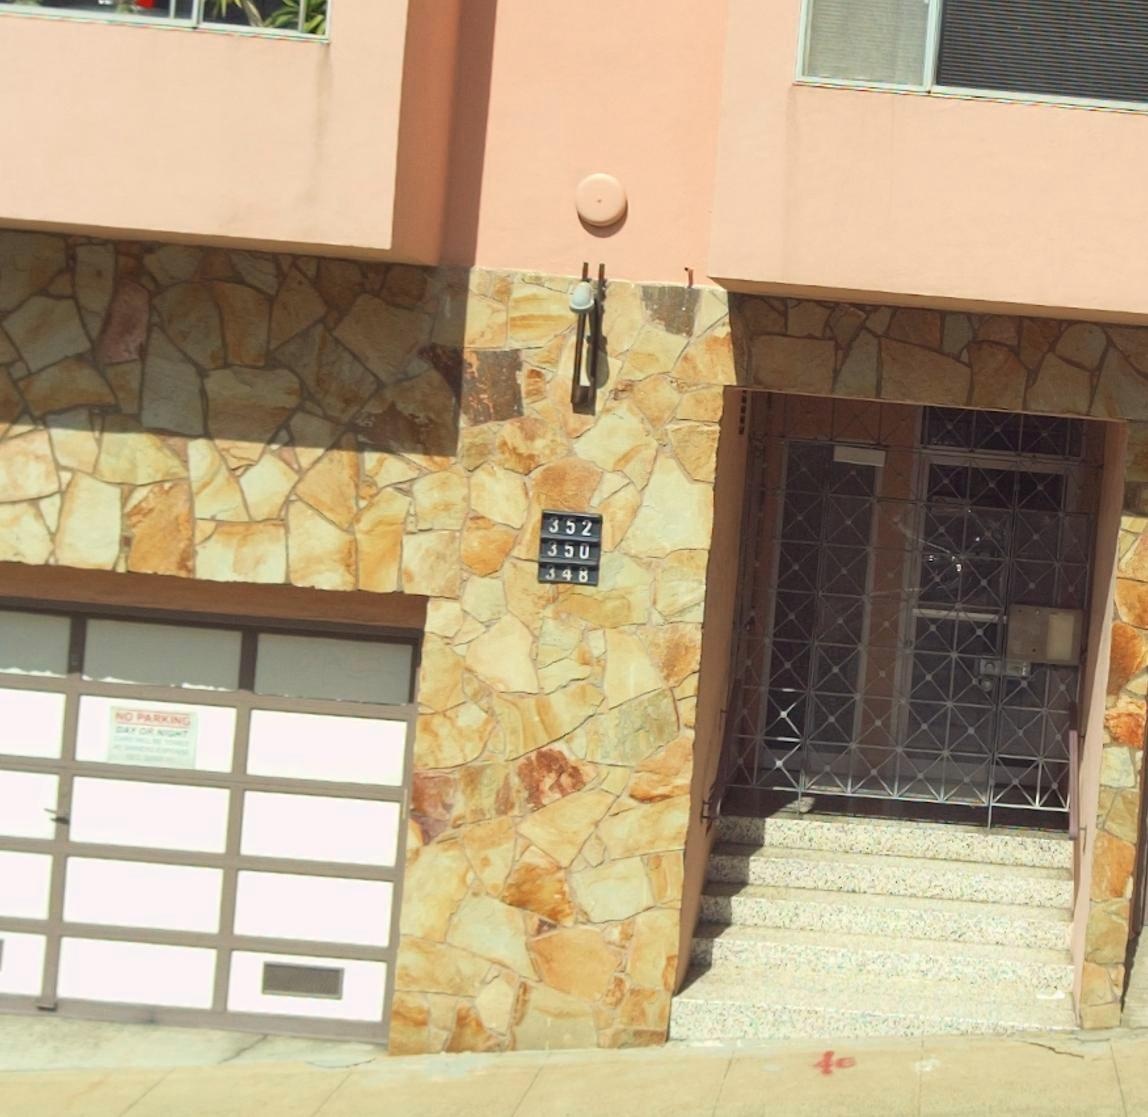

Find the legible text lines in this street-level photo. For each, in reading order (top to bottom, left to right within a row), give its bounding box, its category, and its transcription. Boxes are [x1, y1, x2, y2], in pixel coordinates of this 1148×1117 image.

[547, 515, 593, 538] StreetNumber: 352
[545, 539, 591, 561] StreetNumber: 350
[543, 563, 589, 584] StreetNumber: 348
[114, 709, 191, 728] None: NO PARKING
[115, 725, 189, 739] None: DAY OR NIGHT